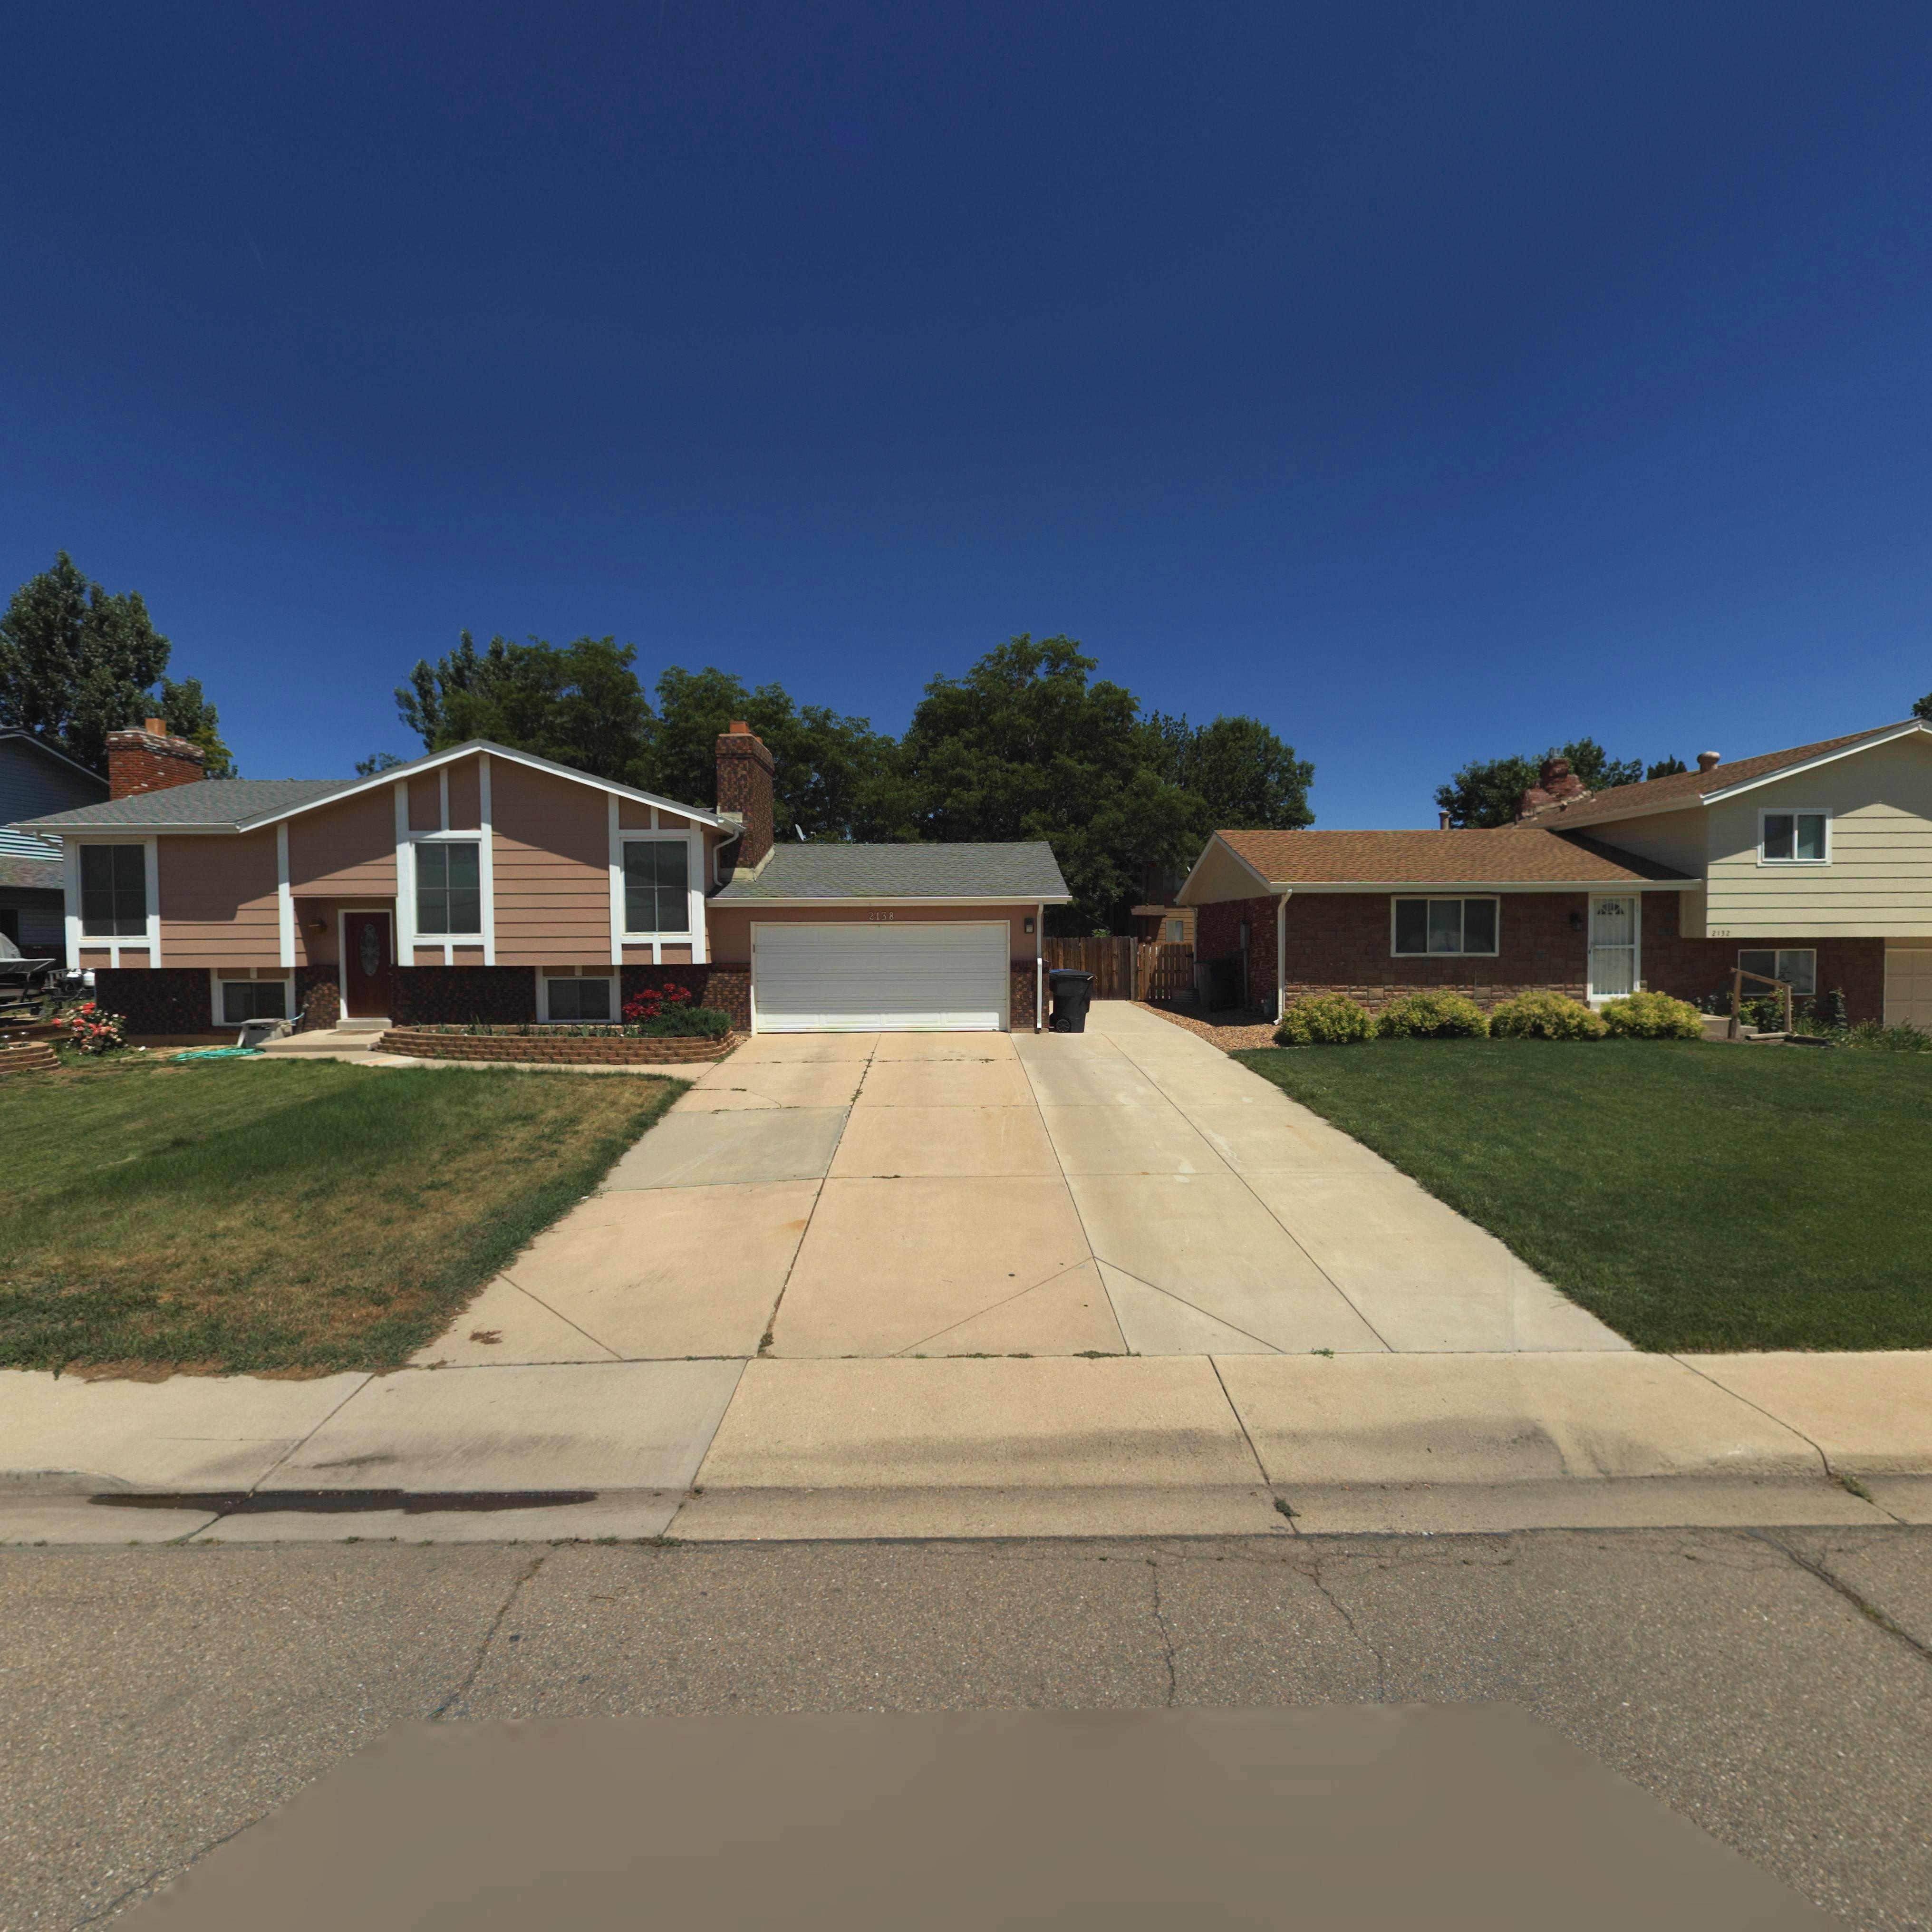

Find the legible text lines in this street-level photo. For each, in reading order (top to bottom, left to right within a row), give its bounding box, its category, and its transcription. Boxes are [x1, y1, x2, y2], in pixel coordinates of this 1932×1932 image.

[868, 911, 894, 920] StreetNumber: 2138
[1712, 930, 1729, 936] StreetNumber: 2132